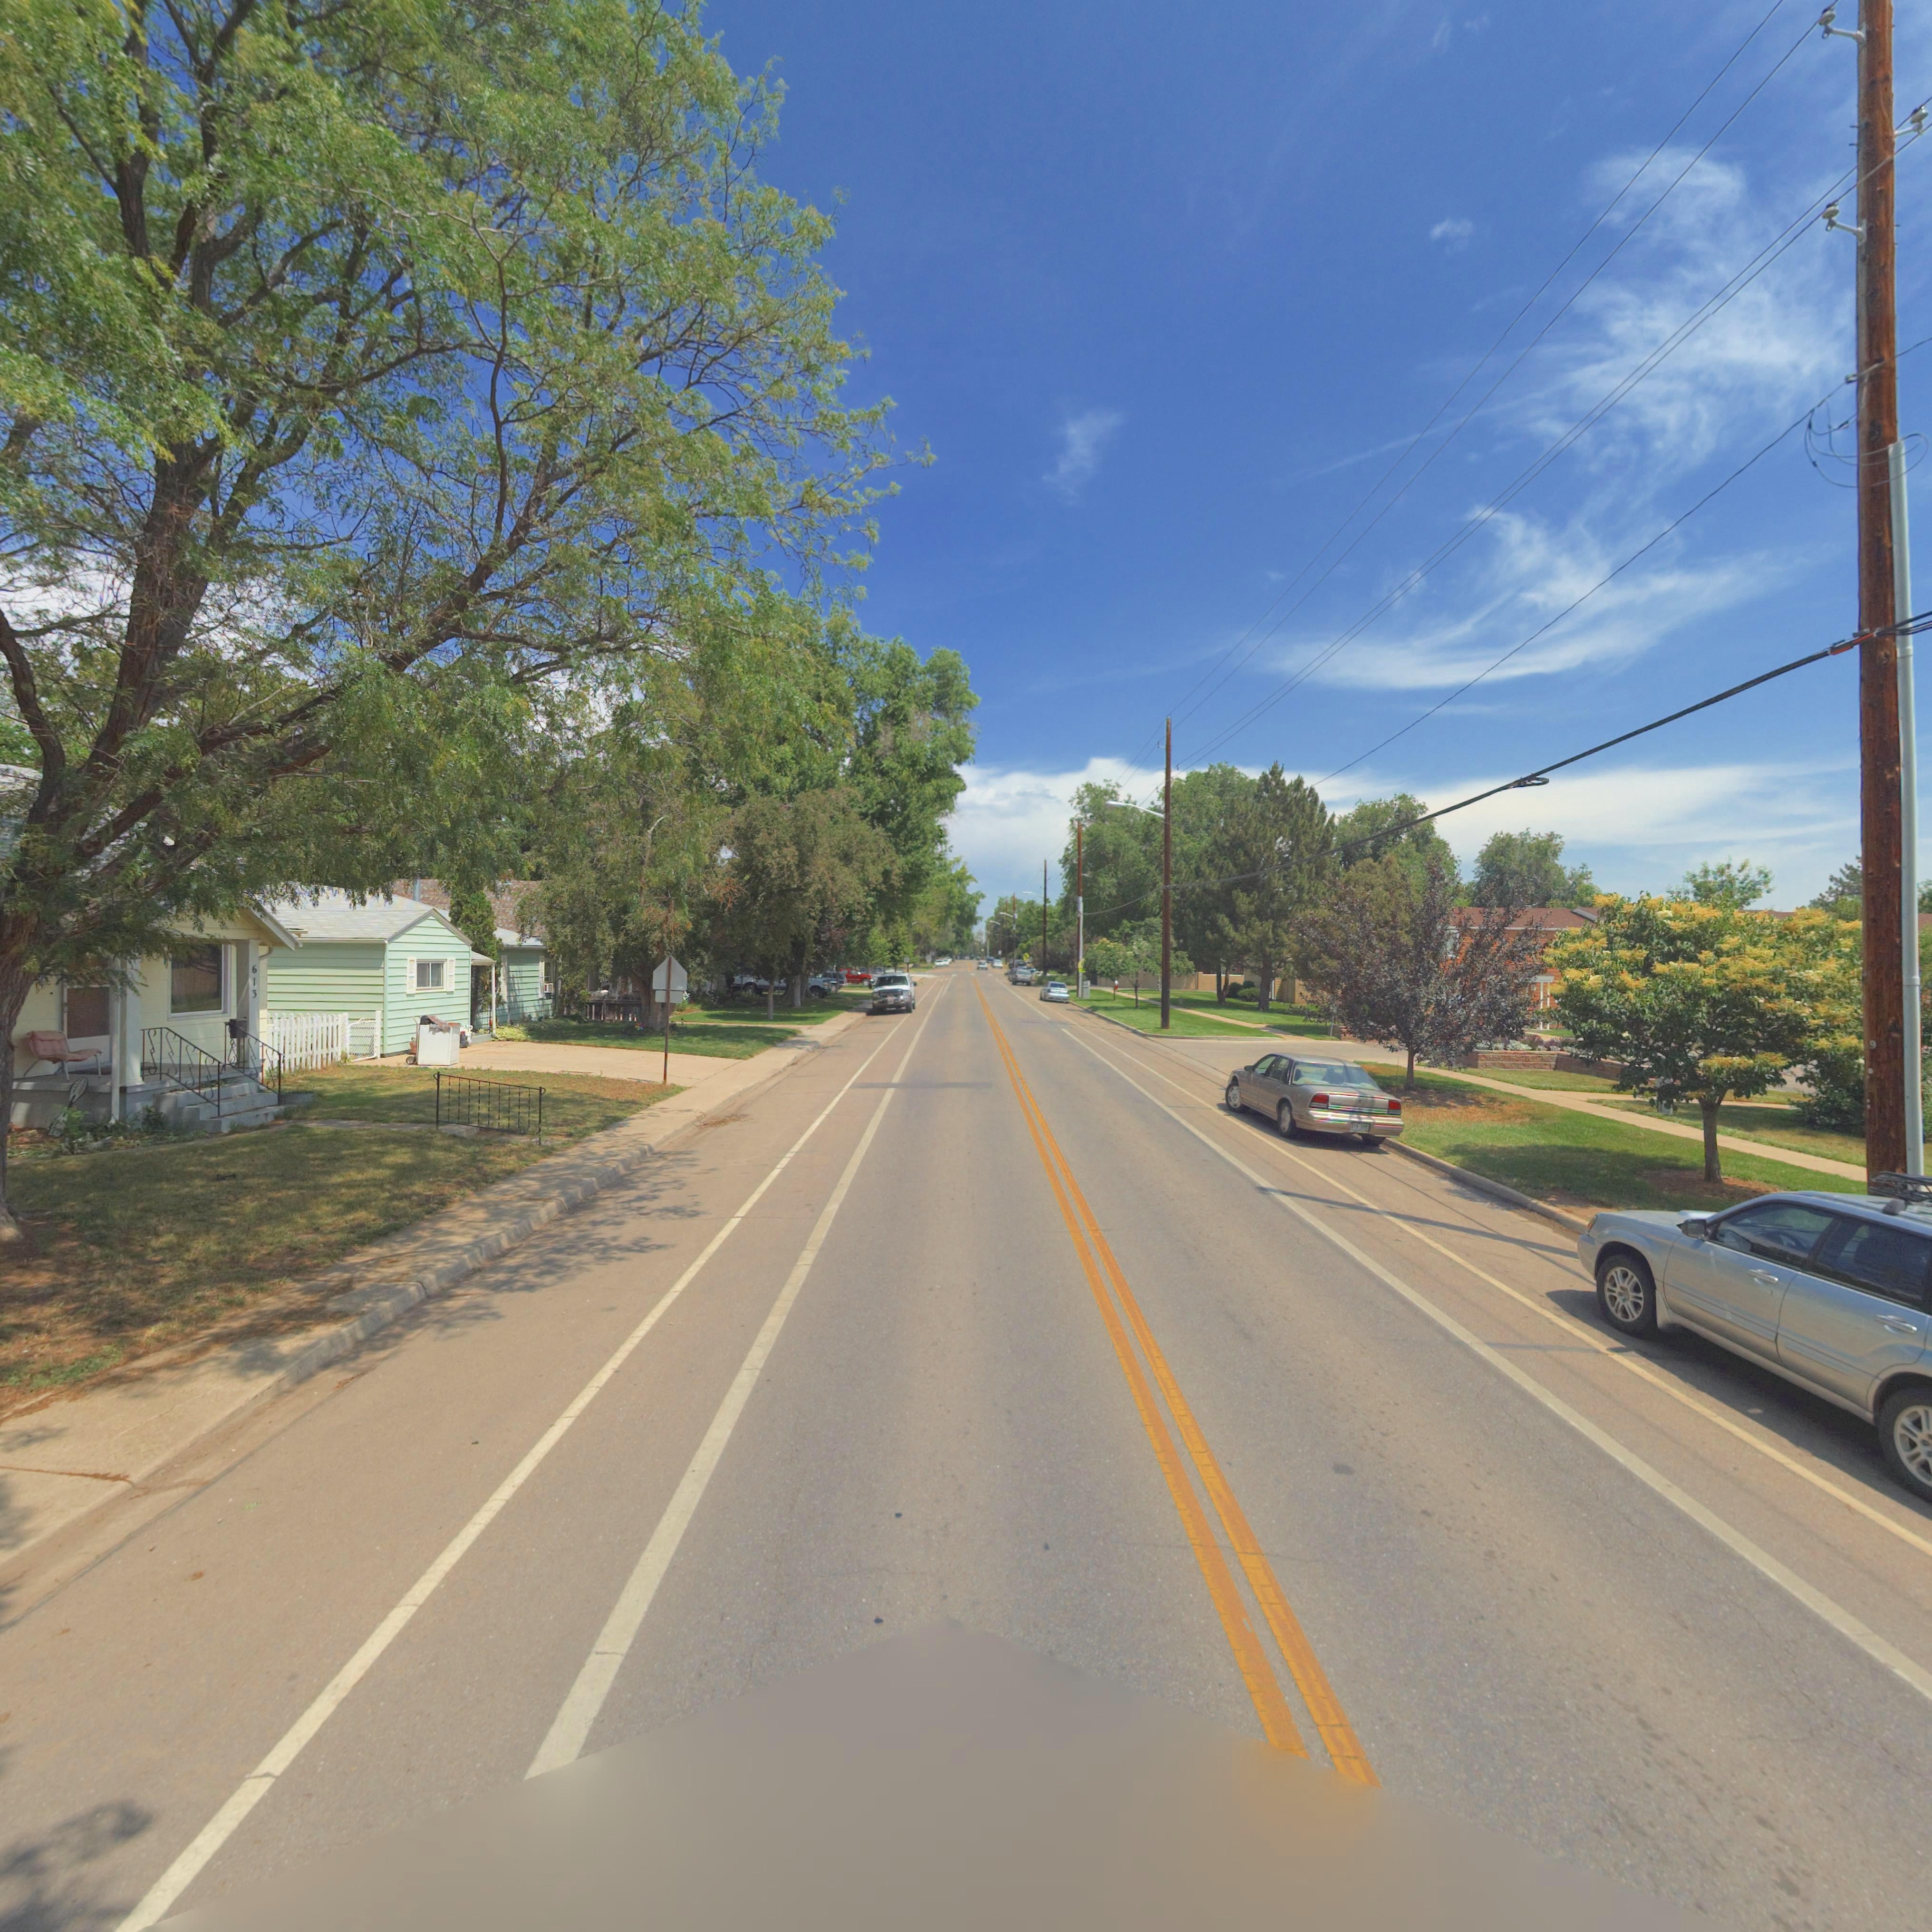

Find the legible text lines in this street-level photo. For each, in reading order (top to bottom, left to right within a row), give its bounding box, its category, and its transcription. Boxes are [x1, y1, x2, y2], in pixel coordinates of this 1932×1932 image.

[251, 964, 257, 998] StreetNumber: 613